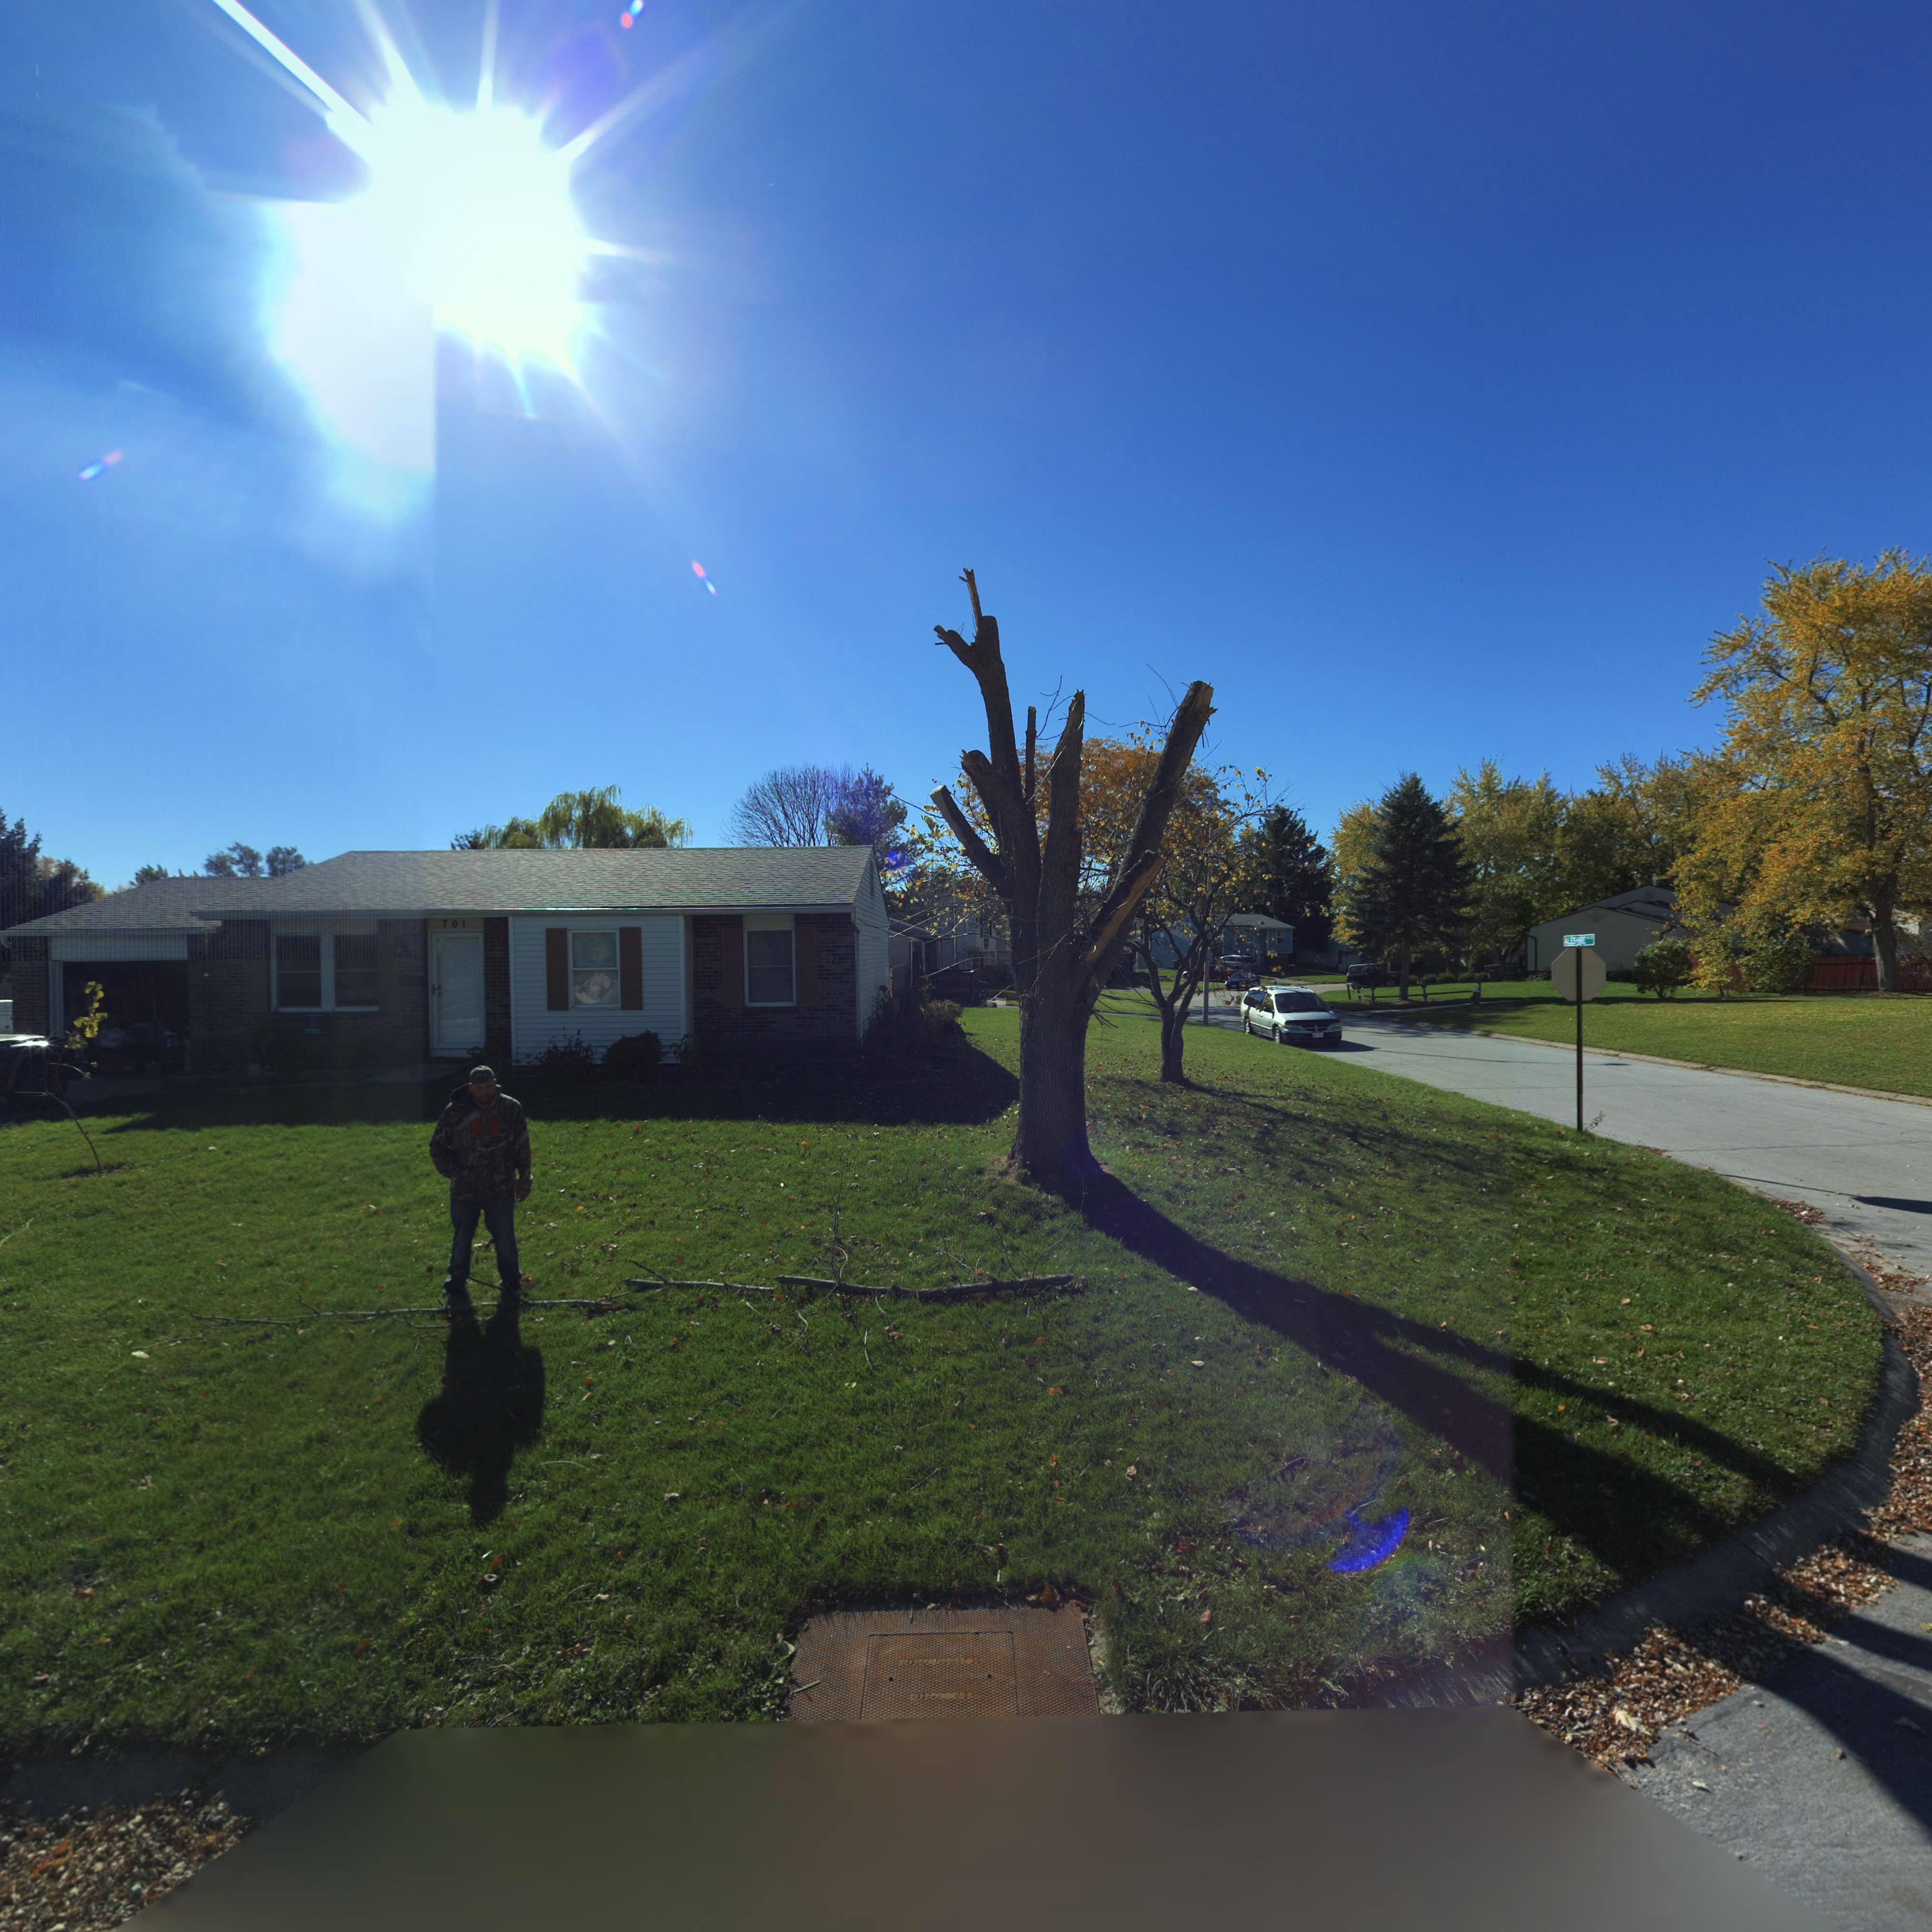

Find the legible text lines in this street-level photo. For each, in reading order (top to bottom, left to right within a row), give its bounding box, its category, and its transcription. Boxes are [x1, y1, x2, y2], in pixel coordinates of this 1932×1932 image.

[440, 918, 466, 928] StreetNumber: 701
[1564, 936, 1587, 946] StreetName: **ES***